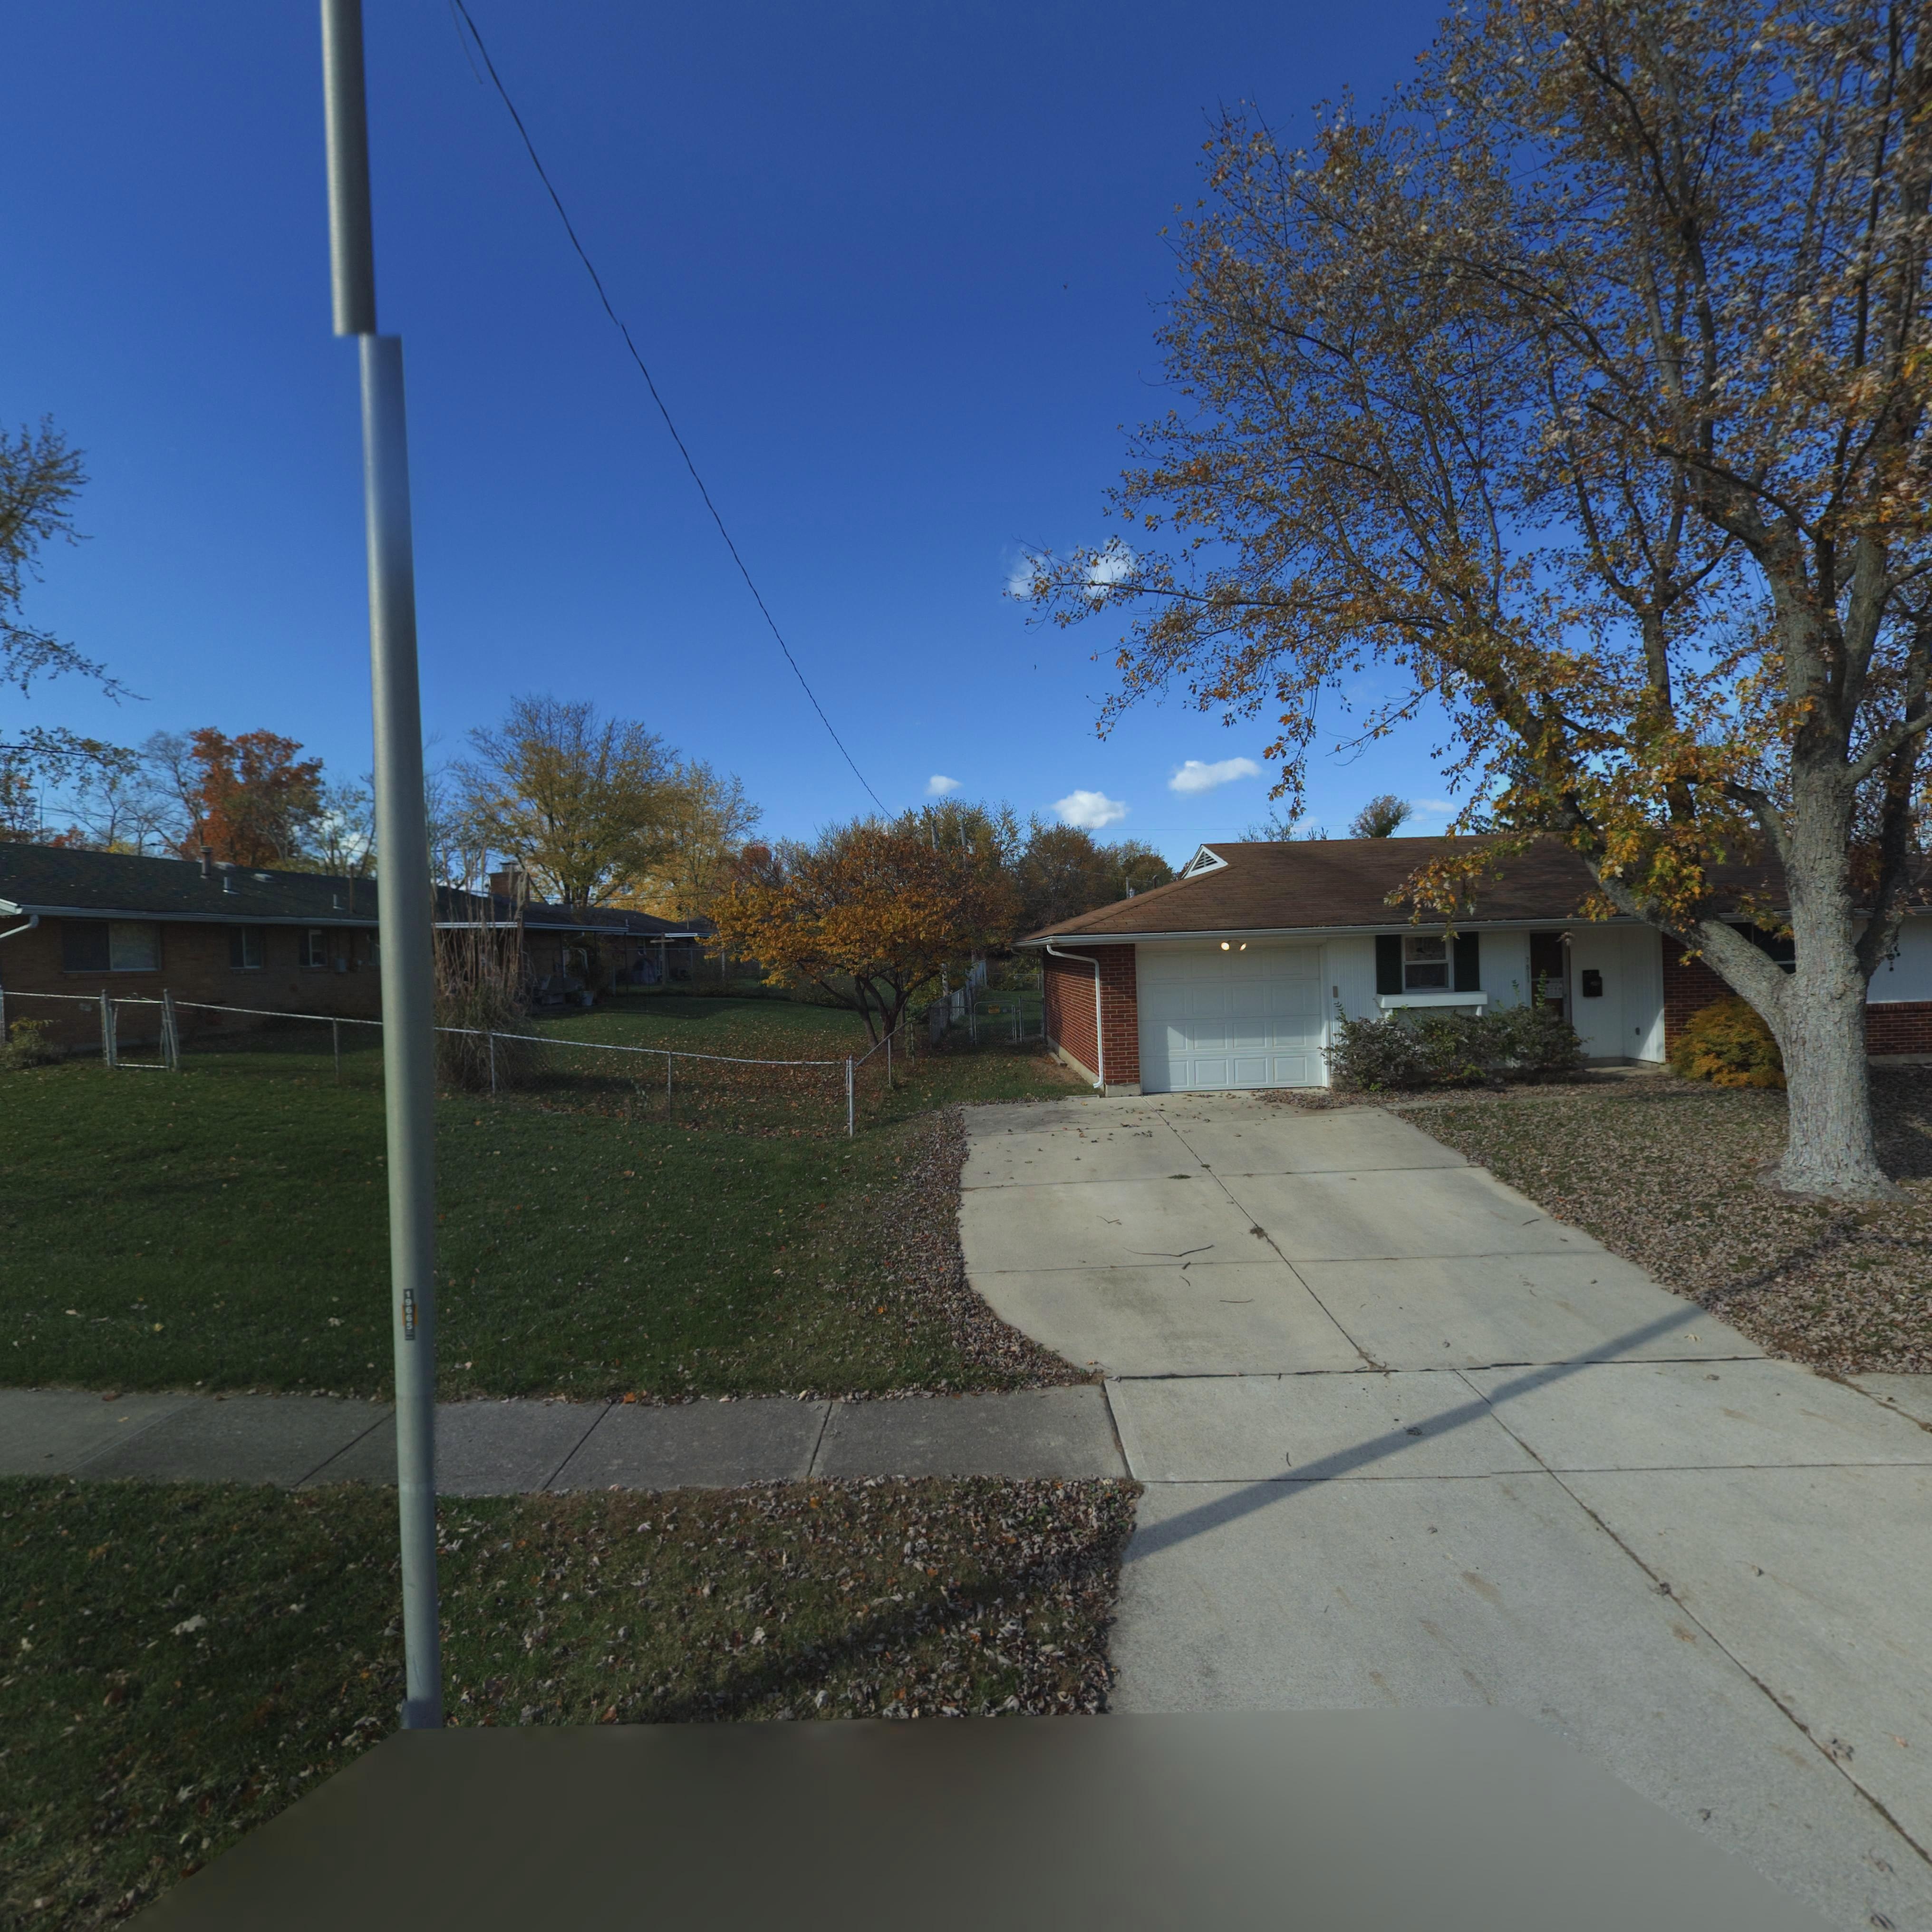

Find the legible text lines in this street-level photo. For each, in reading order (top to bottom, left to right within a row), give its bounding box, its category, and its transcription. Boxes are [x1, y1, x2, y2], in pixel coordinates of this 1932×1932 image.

[1524, 956, 1531, 985] StreetNumber: 75**